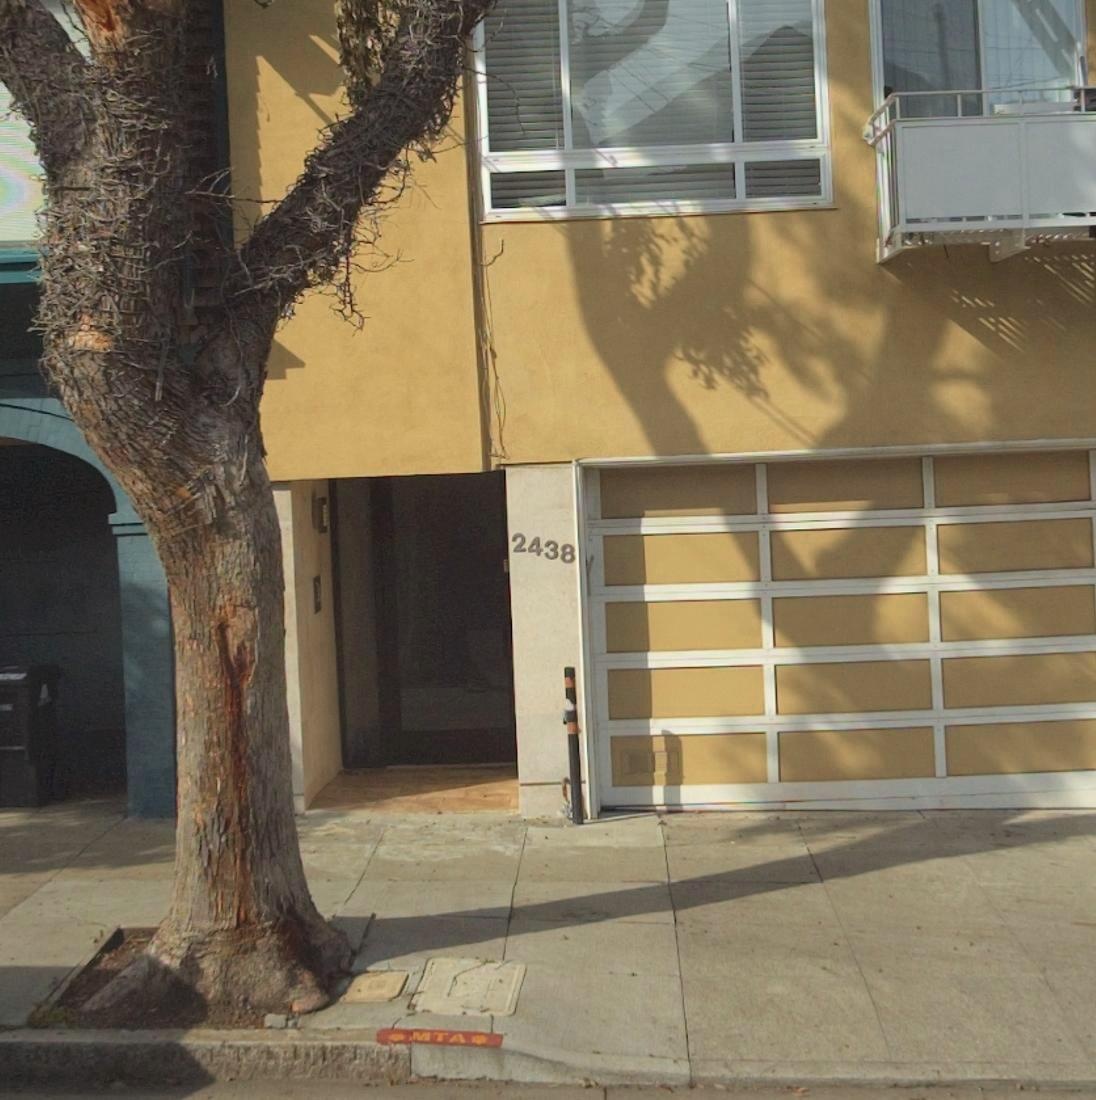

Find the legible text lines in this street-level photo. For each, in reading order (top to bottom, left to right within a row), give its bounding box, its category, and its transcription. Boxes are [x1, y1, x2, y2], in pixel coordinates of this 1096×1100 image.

[510, 530, 578, 566] StreetNumber: 2438
[405, 1028, 470, 1046] None: MTA